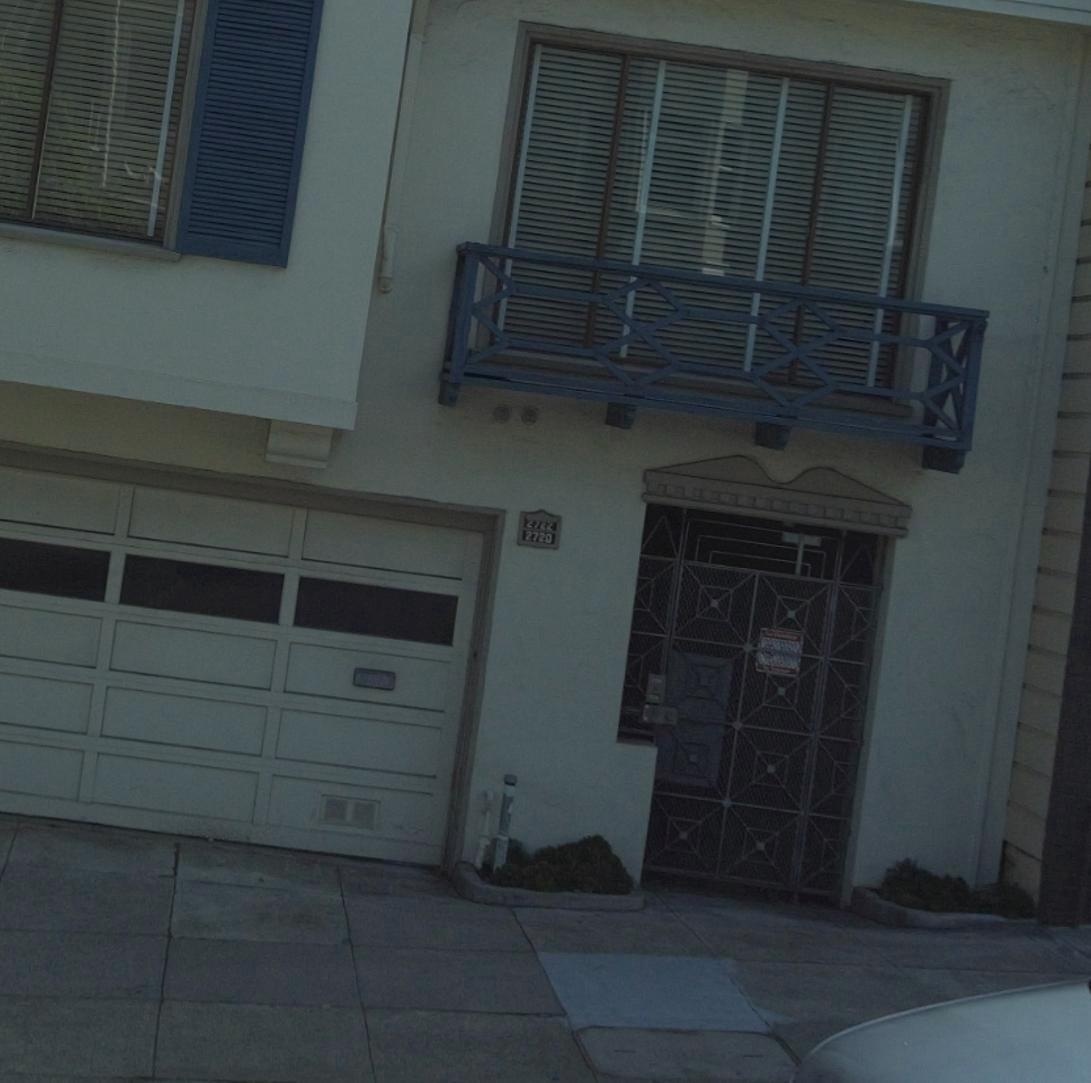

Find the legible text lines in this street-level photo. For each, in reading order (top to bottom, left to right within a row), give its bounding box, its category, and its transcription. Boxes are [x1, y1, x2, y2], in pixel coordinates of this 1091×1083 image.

[525, 516, 555, 532] StreetNumber: 2722
[524, 529, 553, 546] StreetNumber: 2720